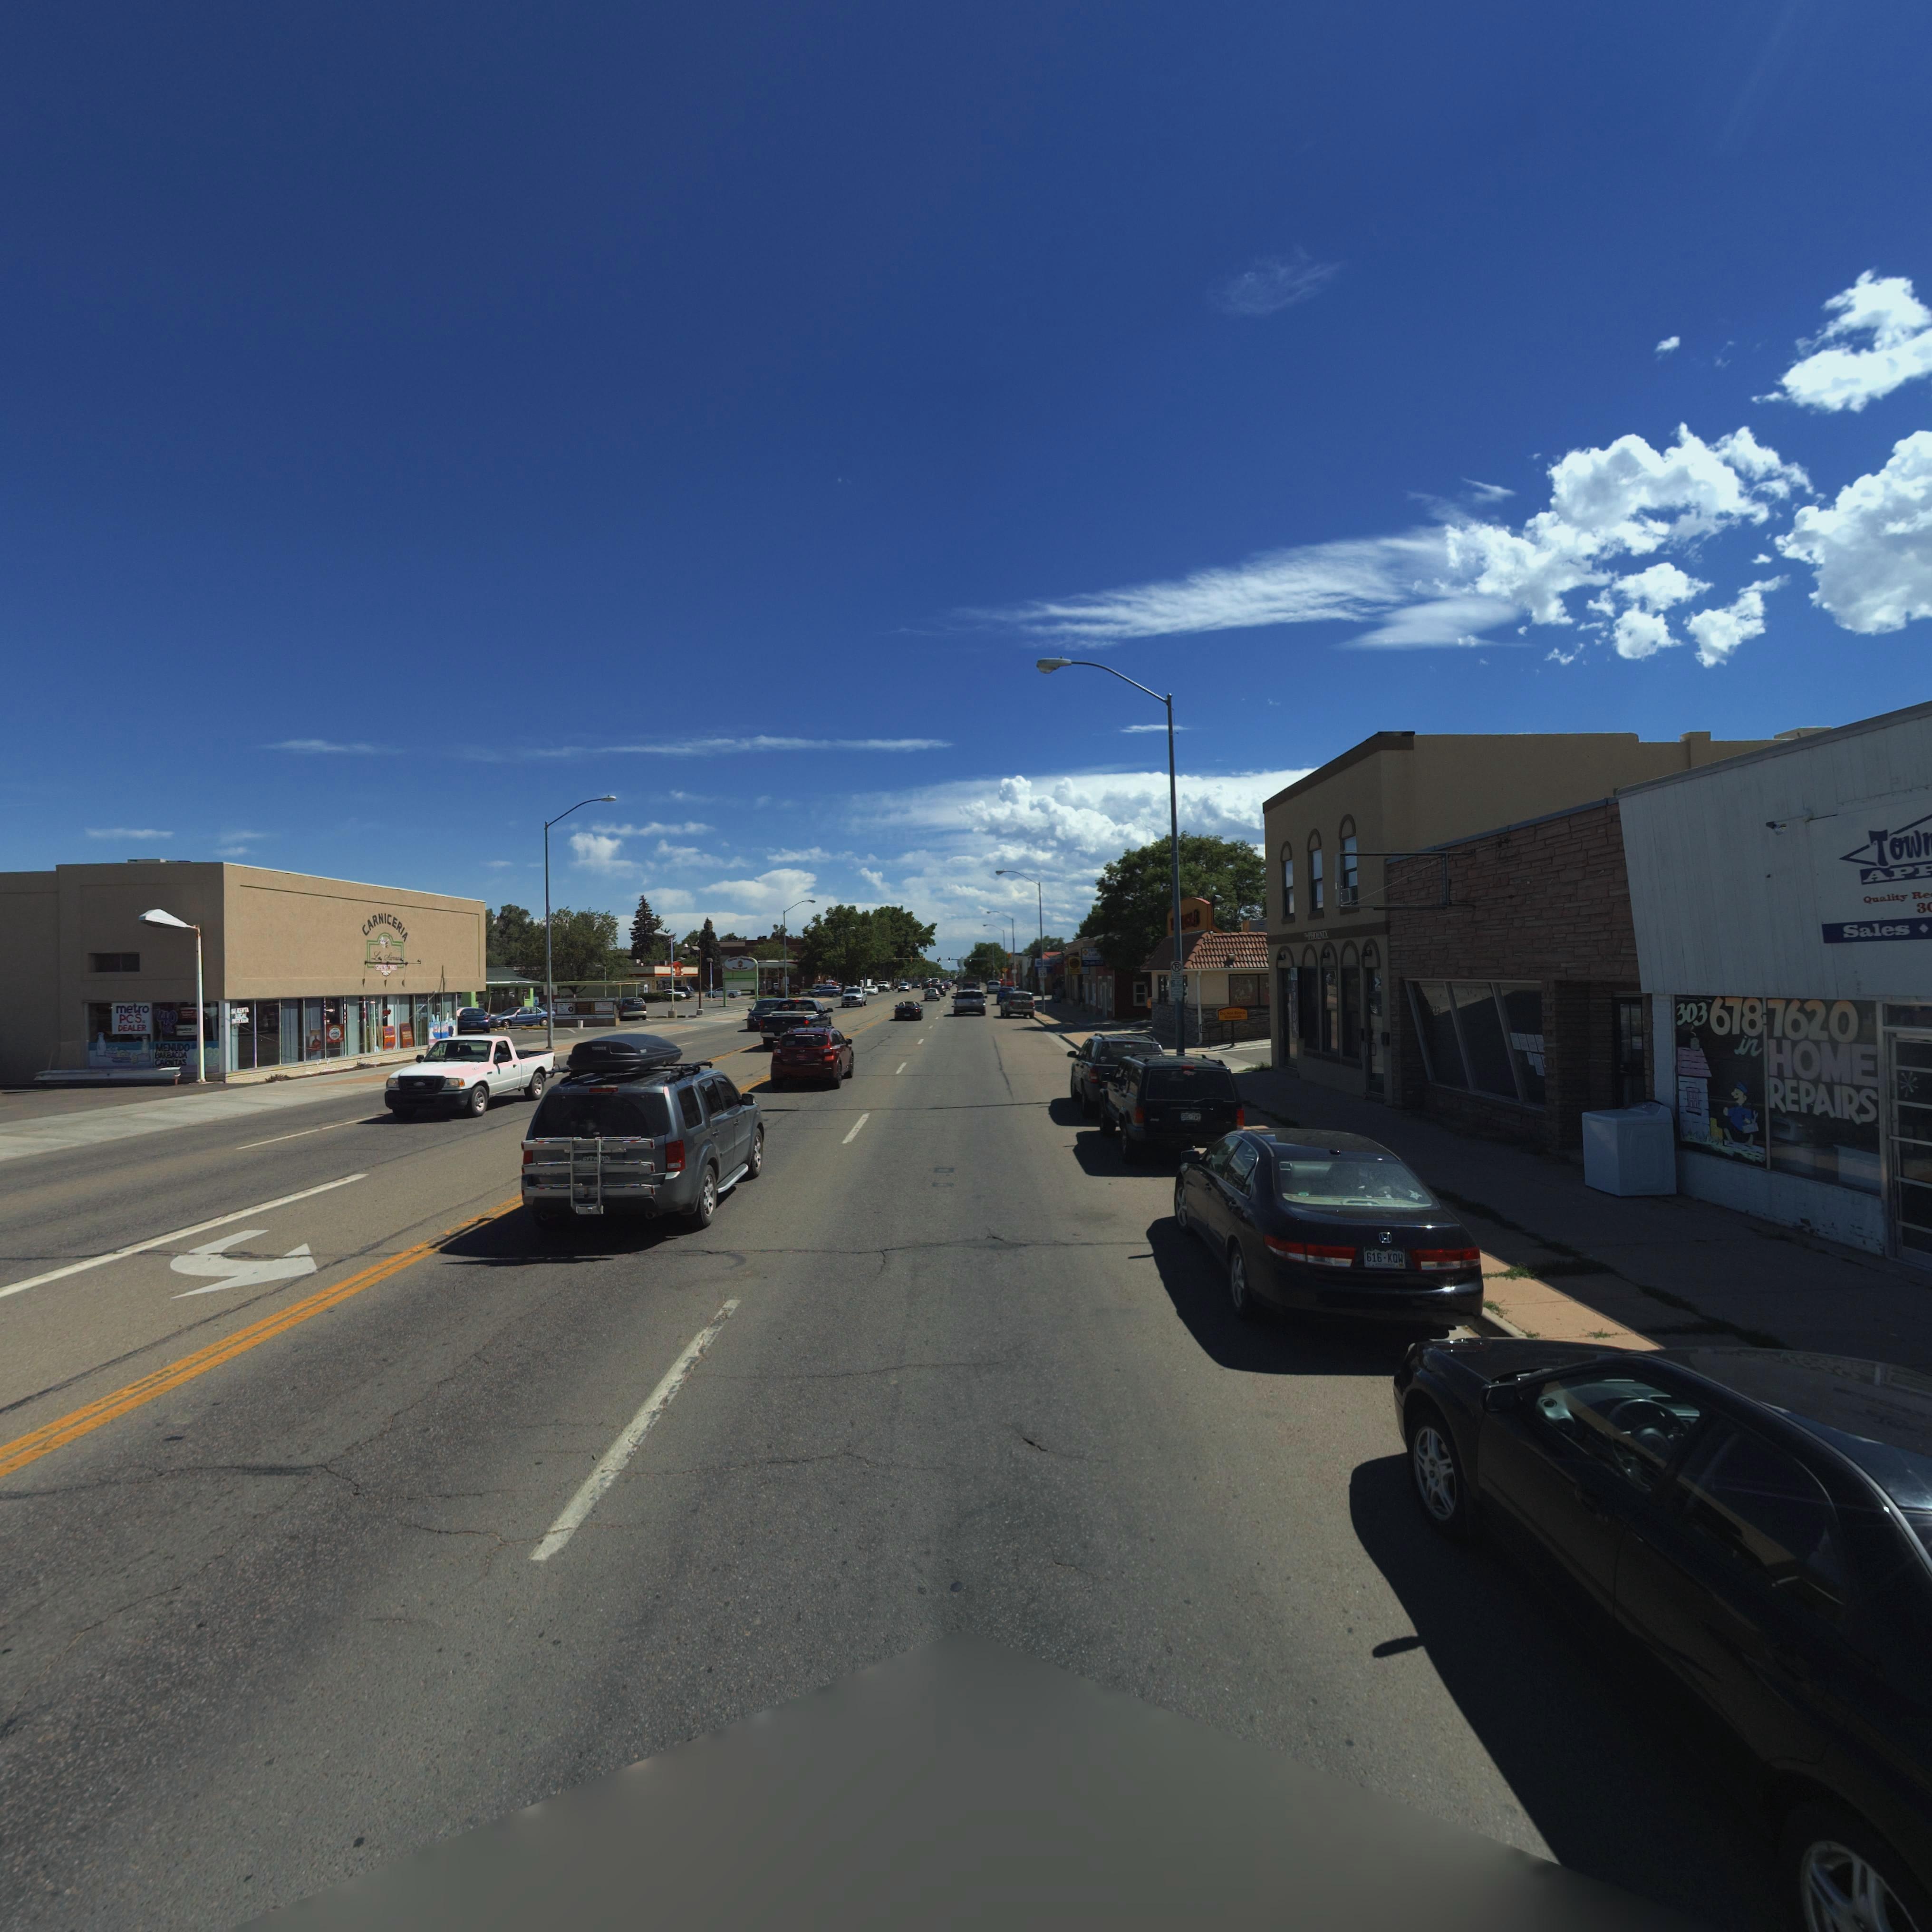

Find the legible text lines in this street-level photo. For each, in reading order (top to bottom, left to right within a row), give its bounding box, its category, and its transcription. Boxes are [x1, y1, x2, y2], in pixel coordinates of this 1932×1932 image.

[1868, 828, 1922, 867] BusinessName: Tow
[1862, 865, 1915, 883] BusinessName: AP
[362, 913, 408, 943] BusinessName: CARNICERIA
[1304, 929, 1329, 940] BusinessName: T**PHOENIX
[371, 950, 400, 961] BusinessName: La Sin*z
[1429, 1005, 1442, 1014] StreetNumber: *22